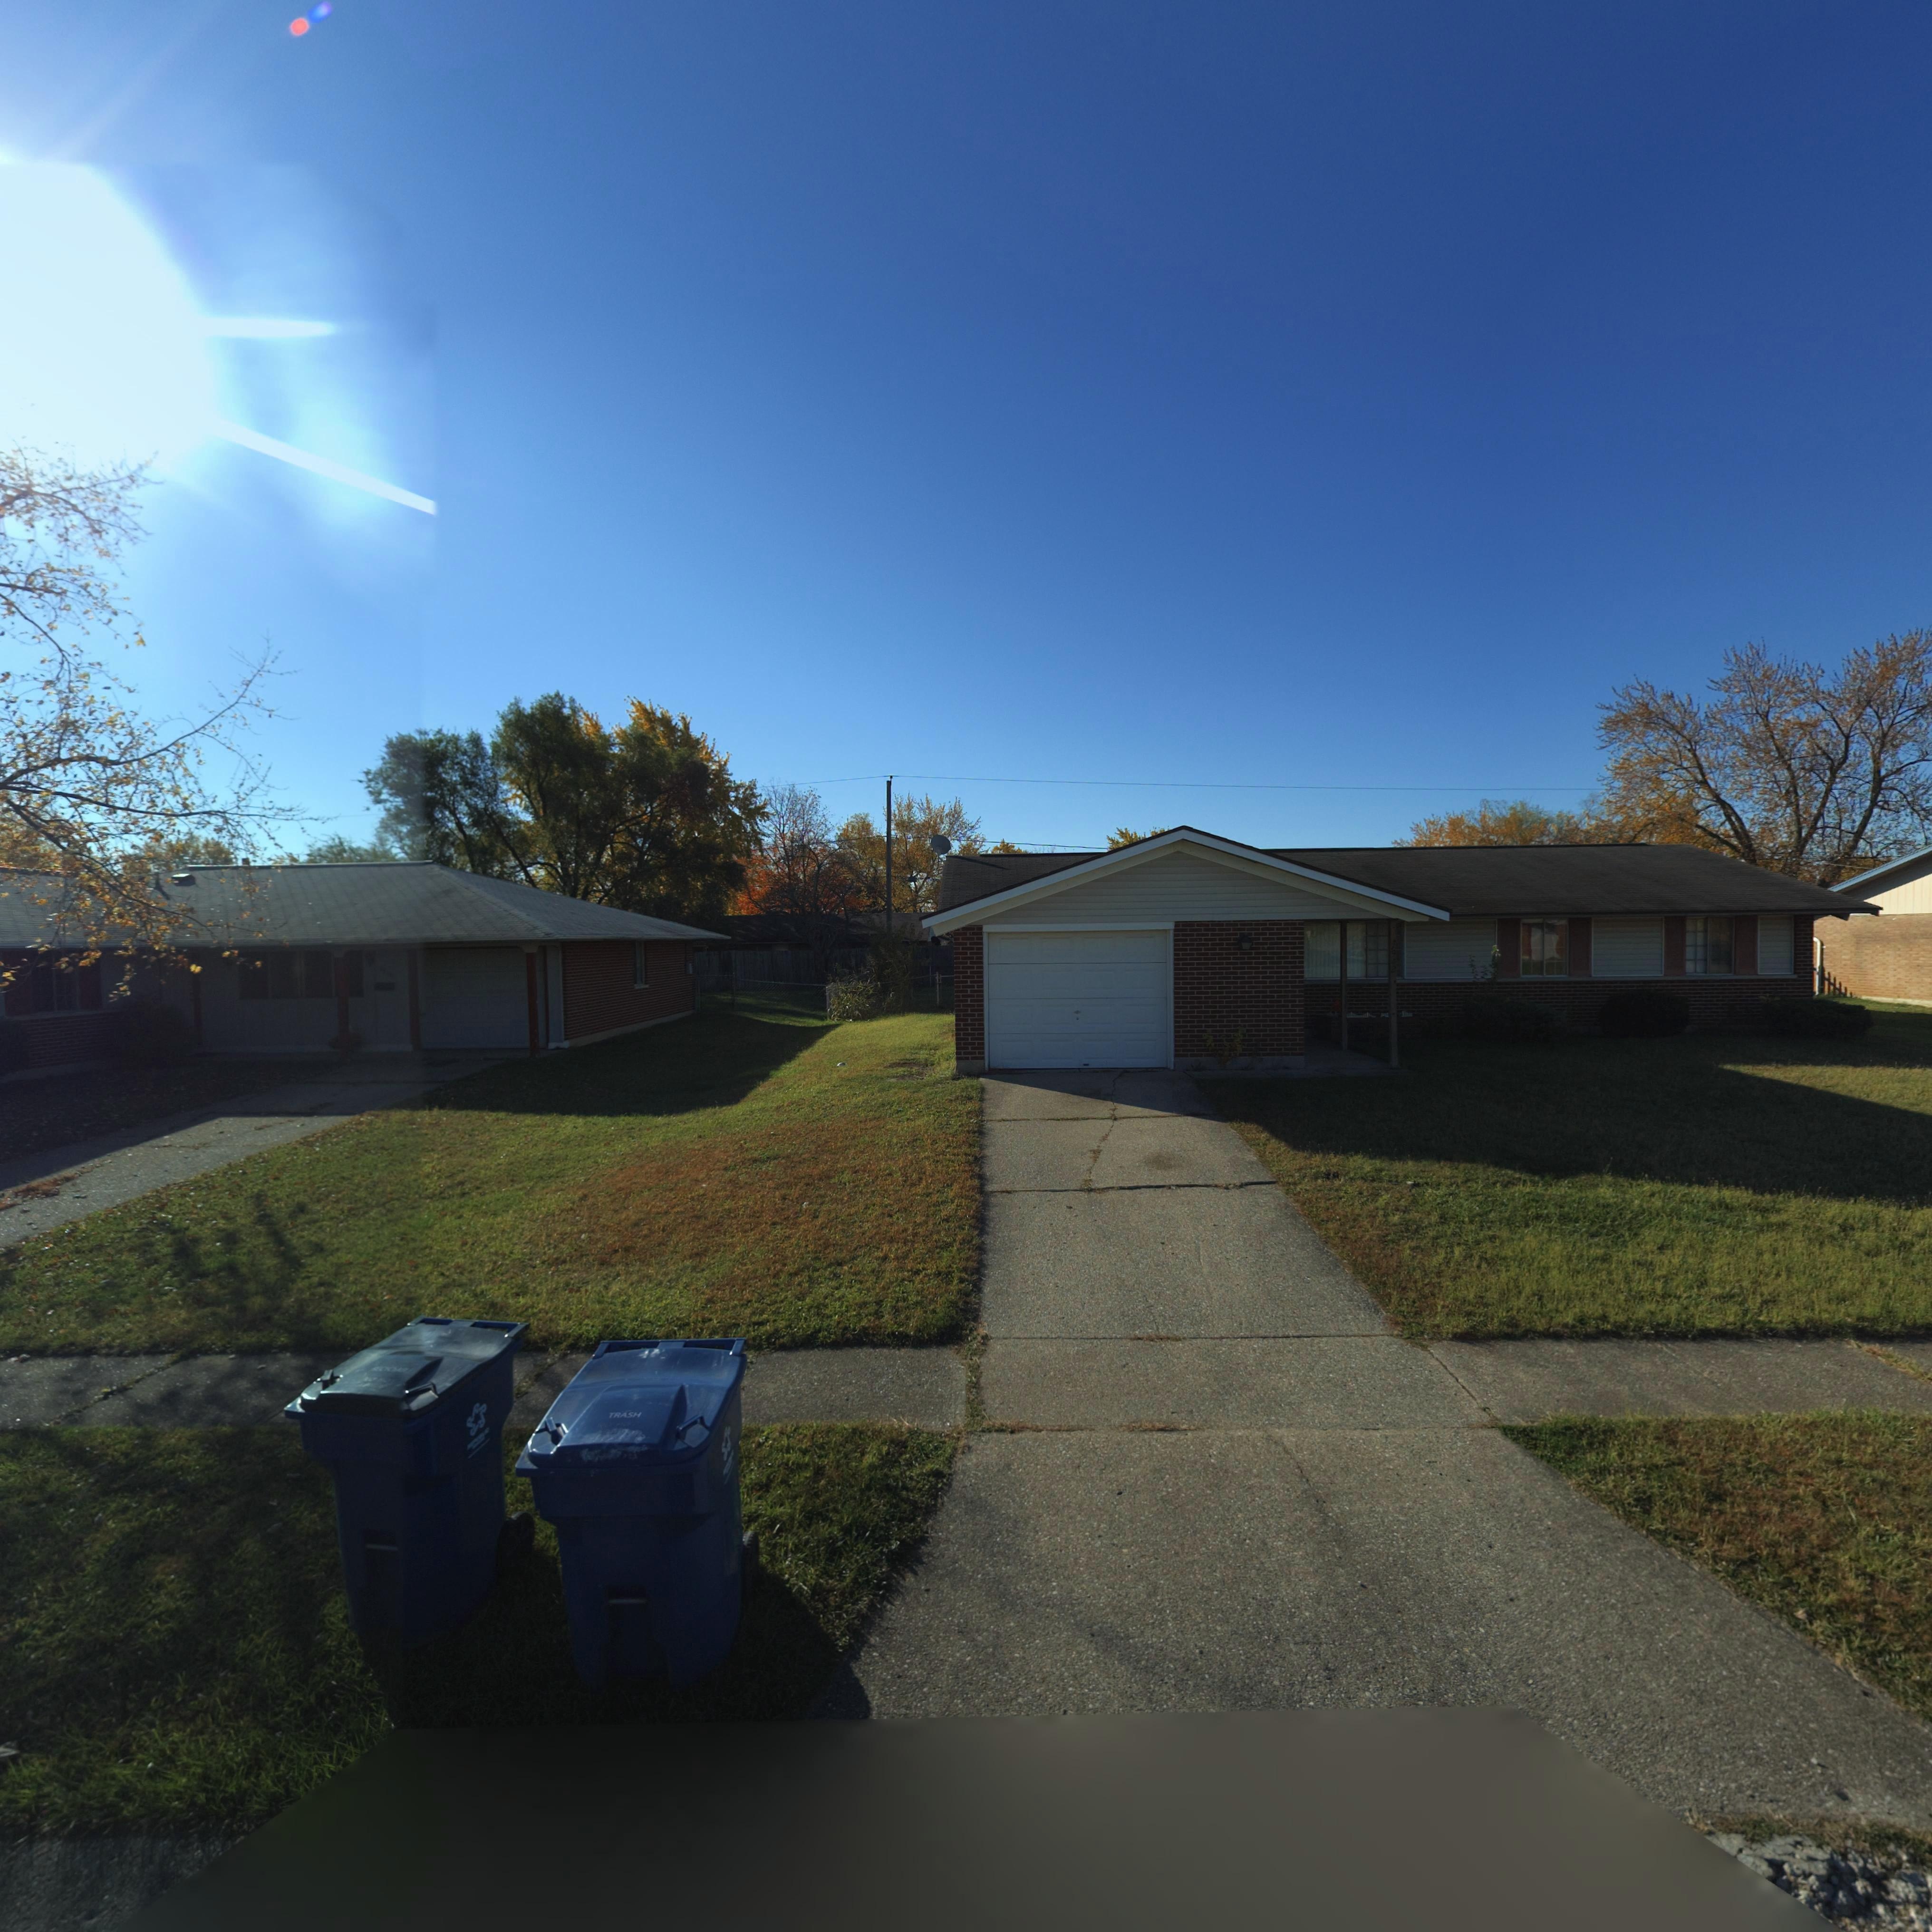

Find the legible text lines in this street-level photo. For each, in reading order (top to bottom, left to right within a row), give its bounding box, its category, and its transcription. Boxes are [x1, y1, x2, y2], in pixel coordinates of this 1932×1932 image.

[1389, 941, 1397, 974] StreetNumber: 7**2